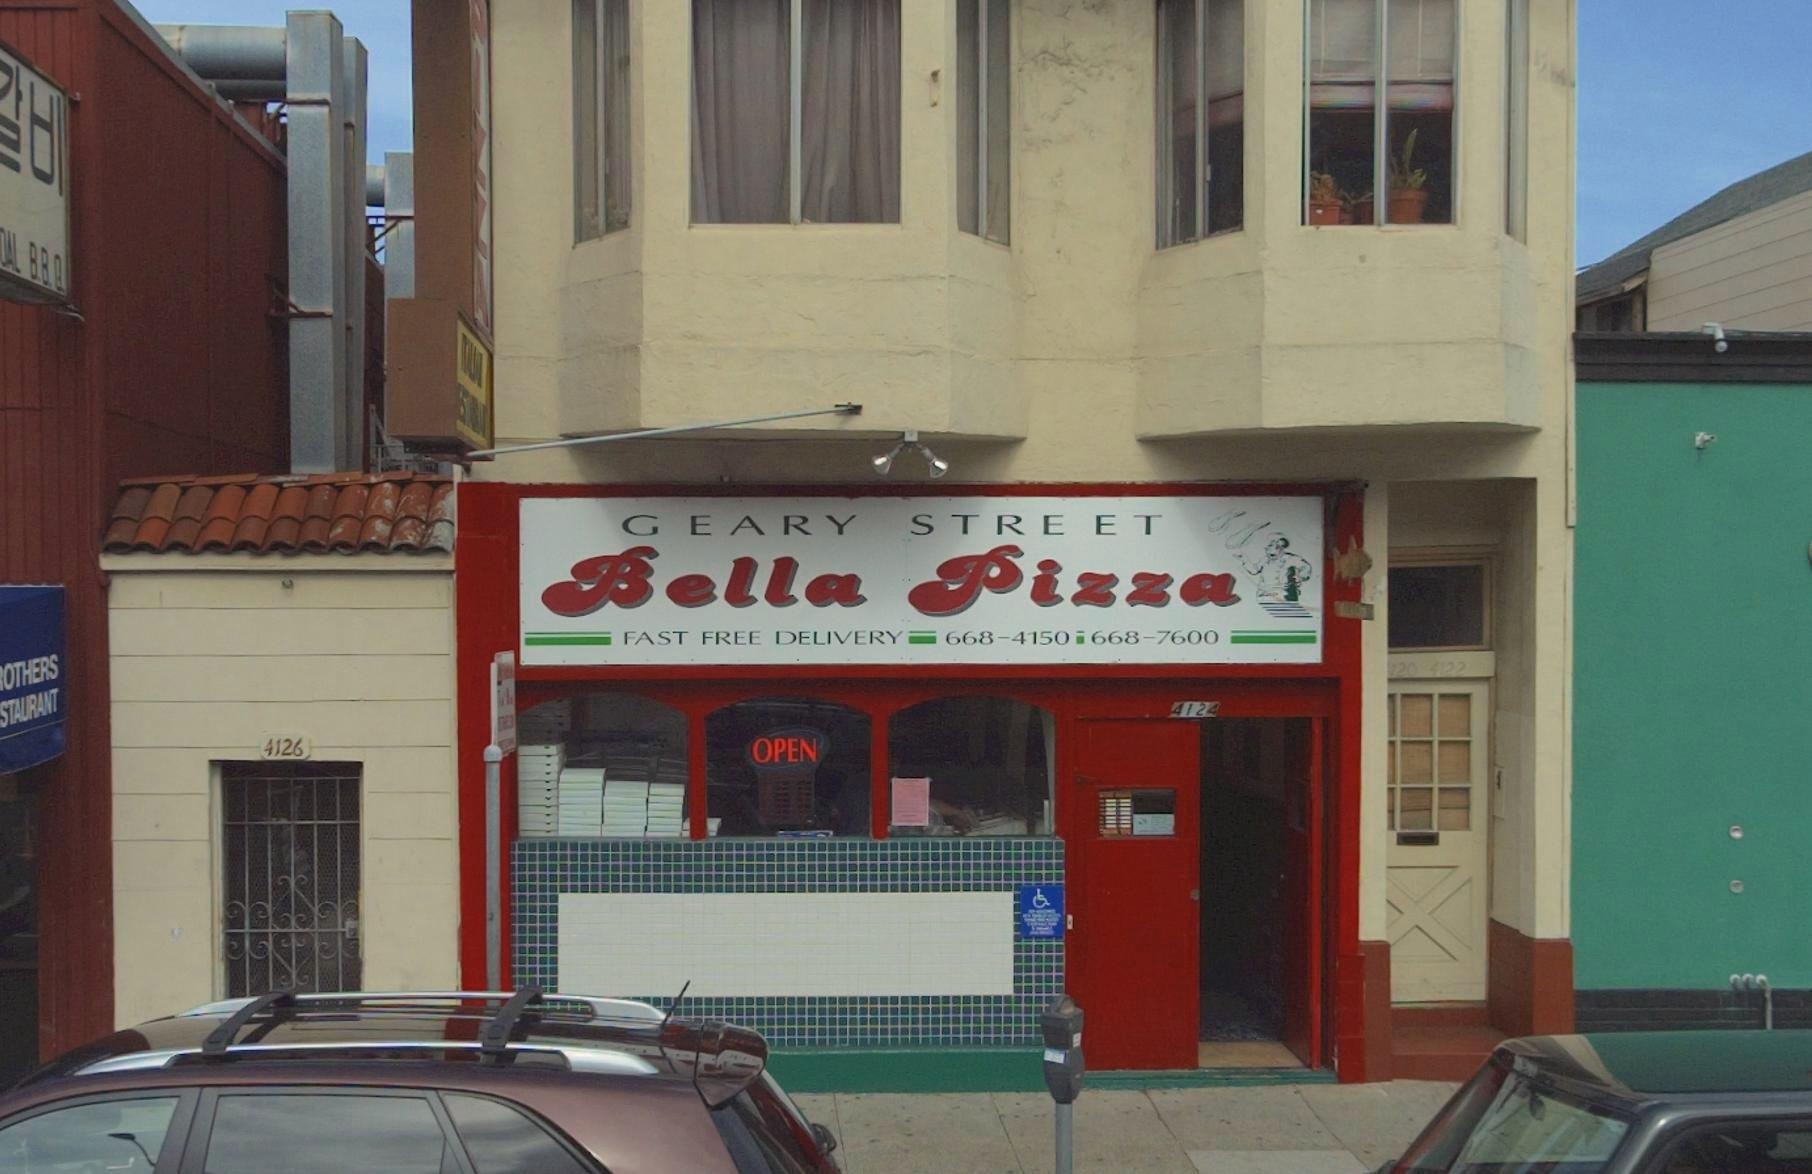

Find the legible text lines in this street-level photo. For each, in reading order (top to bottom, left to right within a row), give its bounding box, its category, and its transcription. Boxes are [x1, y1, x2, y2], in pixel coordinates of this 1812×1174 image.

[3, 223, 67, 301] BusinessName: AL B.B.Q.
[616, 511, 1170, 538] None: GERARY STREET
[541, 543, 1241, 618] BusinessName: Bella Pizza
[620, 627, 906, 648] None: FAST FREE DELIVERY
[942, 627, 1072, 647] None: 668-4150
[1088, 627, 1222, 648] None: 668-7600
[2, 651, 61, 693] BusinessName: OTHERS
[1388, 661, 1420, 681] StreetNumber: 120
[1426, 658, 1471, 679] StreetNumber: 4122
[0, 684, 62, 730] BusinessName: STAURANT
[1171, 702, 1220, 718] StreetNumber: 4124
[258, 735, 309, 760] StreetNumber: 4126
[751, 735, 821, 765] None: OPEN